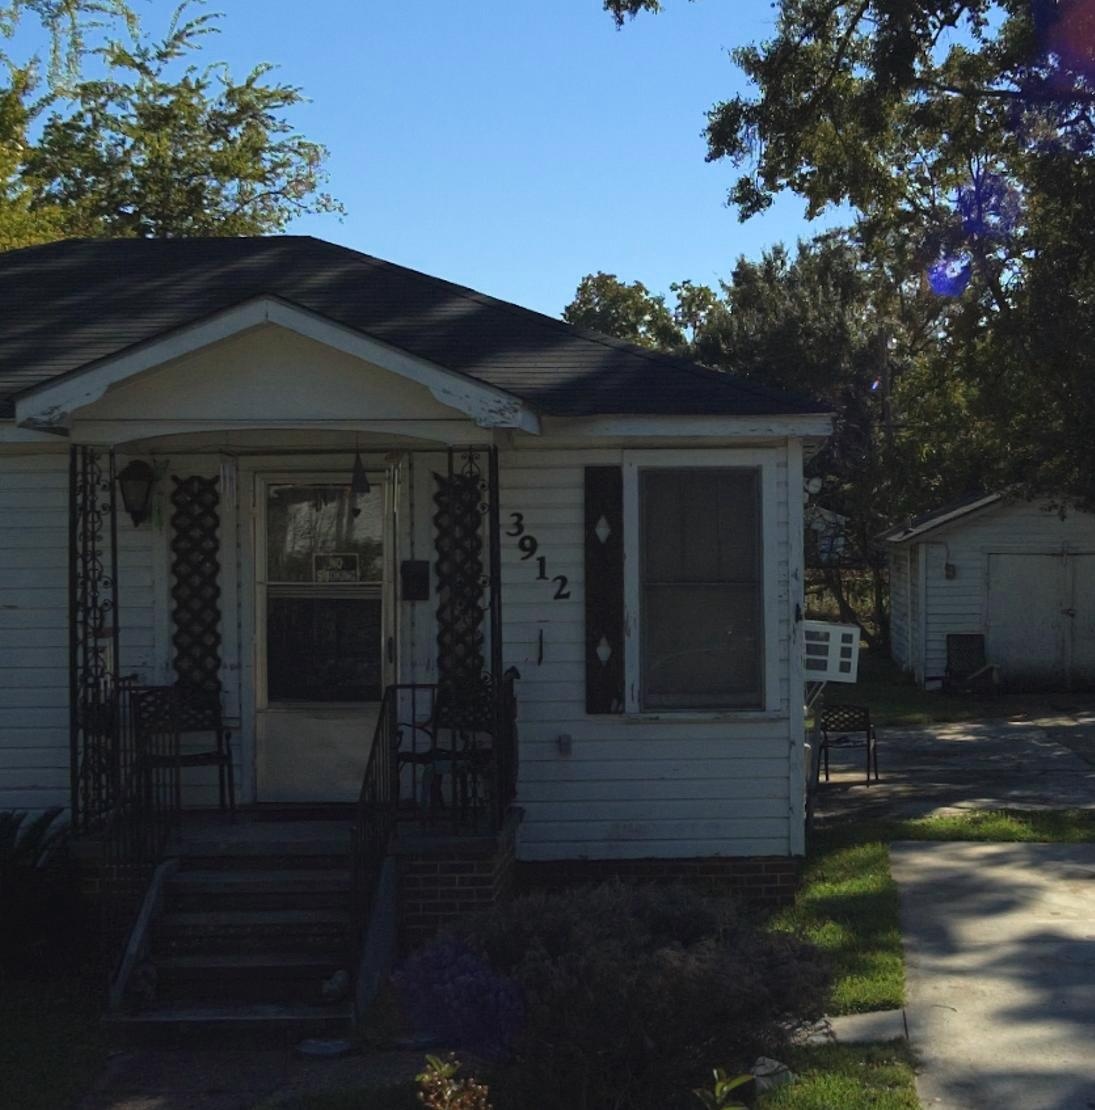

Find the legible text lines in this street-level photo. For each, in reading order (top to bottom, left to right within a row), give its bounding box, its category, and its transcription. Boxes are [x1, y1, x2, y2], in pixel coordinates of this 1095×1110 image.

[327, 556, 344, 570] None: NO
[505, 511, 572, 601] StreetNumber: 3912
[316, 569, 356, 582] None: SMOKING